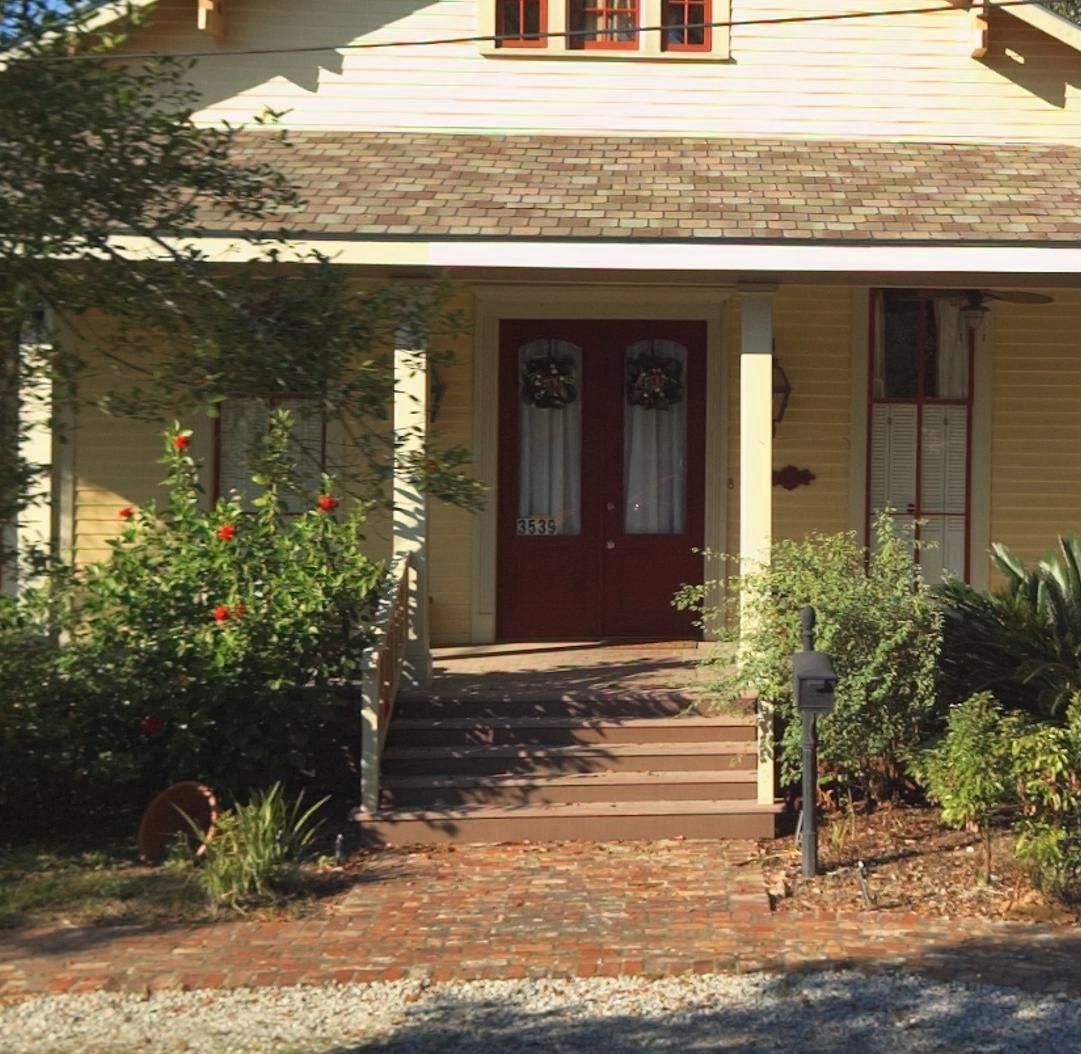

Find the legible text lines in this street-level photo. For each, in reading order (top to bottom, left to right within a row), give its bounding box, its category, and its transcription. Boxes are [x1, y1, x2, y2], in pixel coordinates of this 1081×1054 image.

[517, 517, 557, 536] StreetNumber: 3539